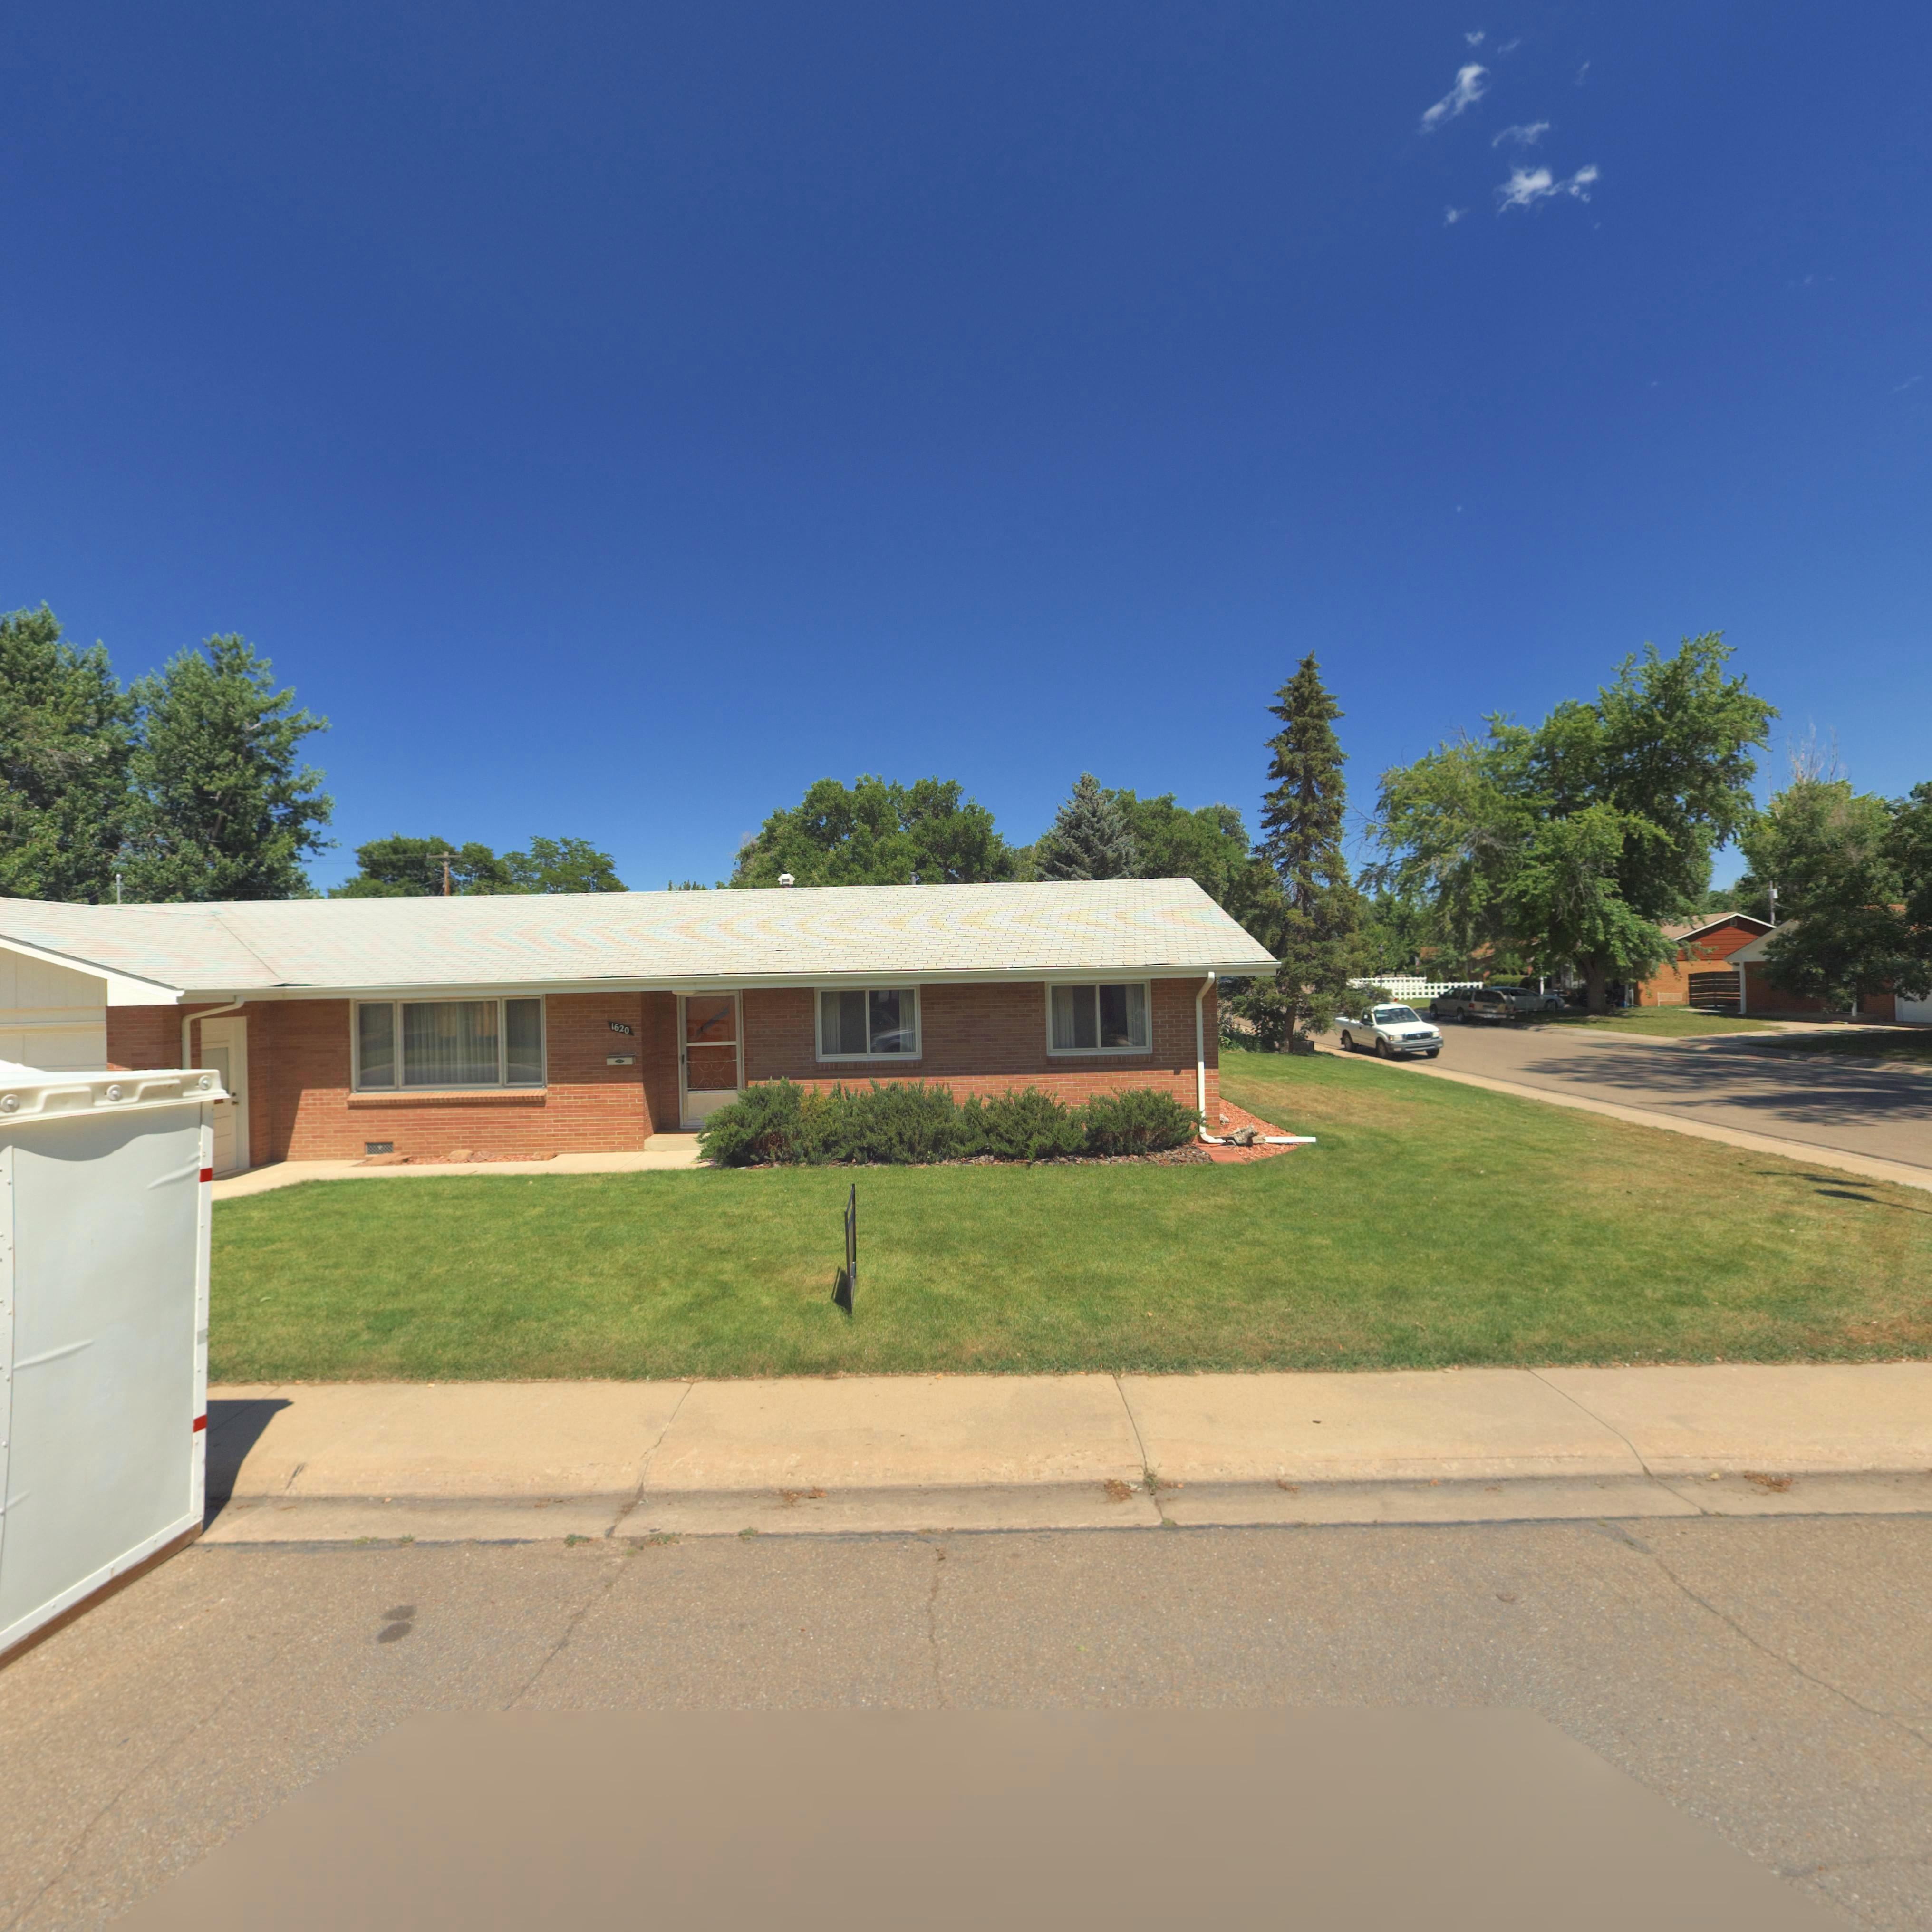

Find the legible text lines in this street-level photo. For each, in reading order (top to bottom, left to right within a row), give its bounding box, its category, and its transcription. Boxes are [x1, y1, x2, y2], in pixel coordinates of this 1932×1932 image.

[610, 1022, 629, 1034] StreetNumber: 1620